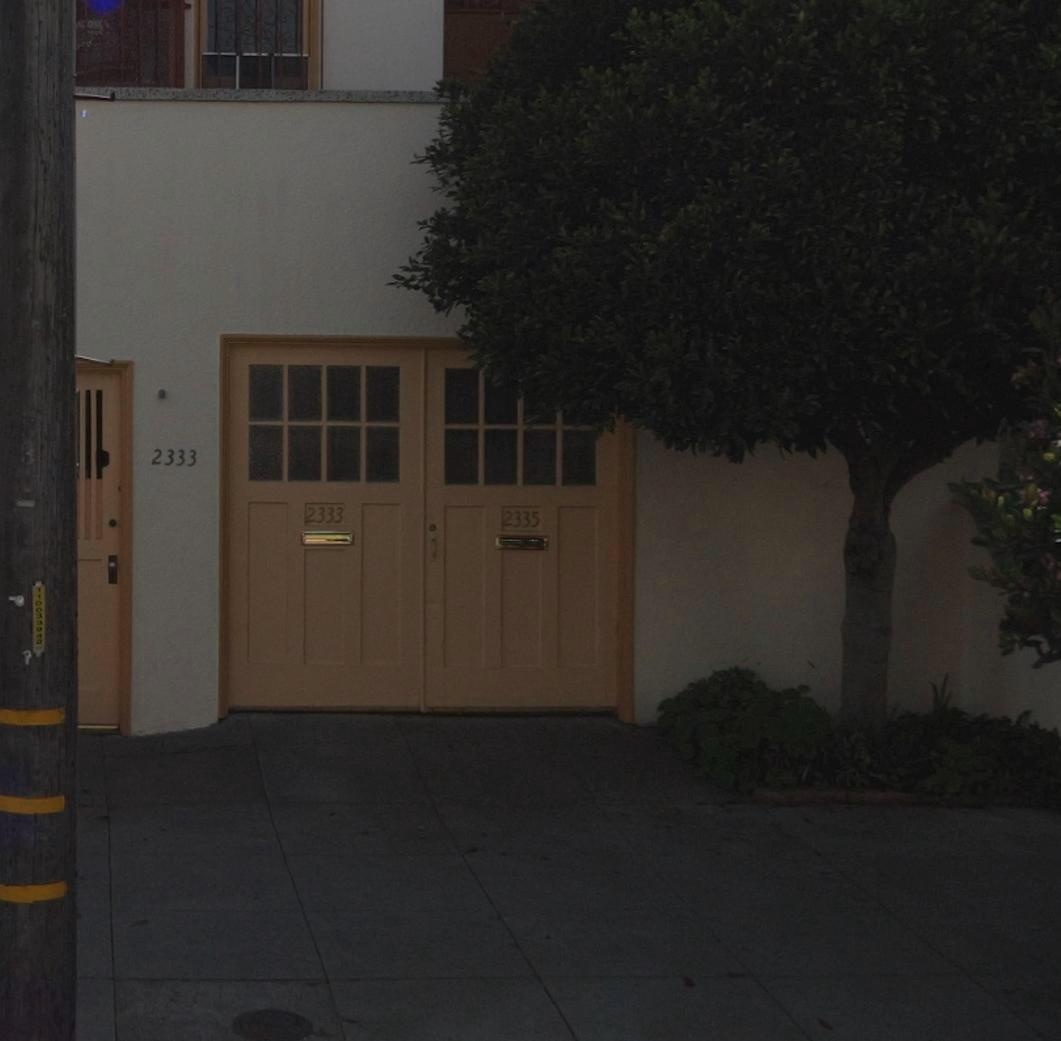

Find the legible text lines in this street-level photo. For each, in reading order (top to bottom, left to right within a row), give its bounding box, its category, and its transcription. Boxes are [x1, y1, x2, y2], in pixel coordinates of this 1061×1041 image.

[149, 446, 199, 469] StreetNumber: 2333
[304, 504, 345, 526] StreetNumber: 2333
[501, 509, 541, 530] StreetNumber: 2335
[33, 585, 45, 648] None: 1100*****